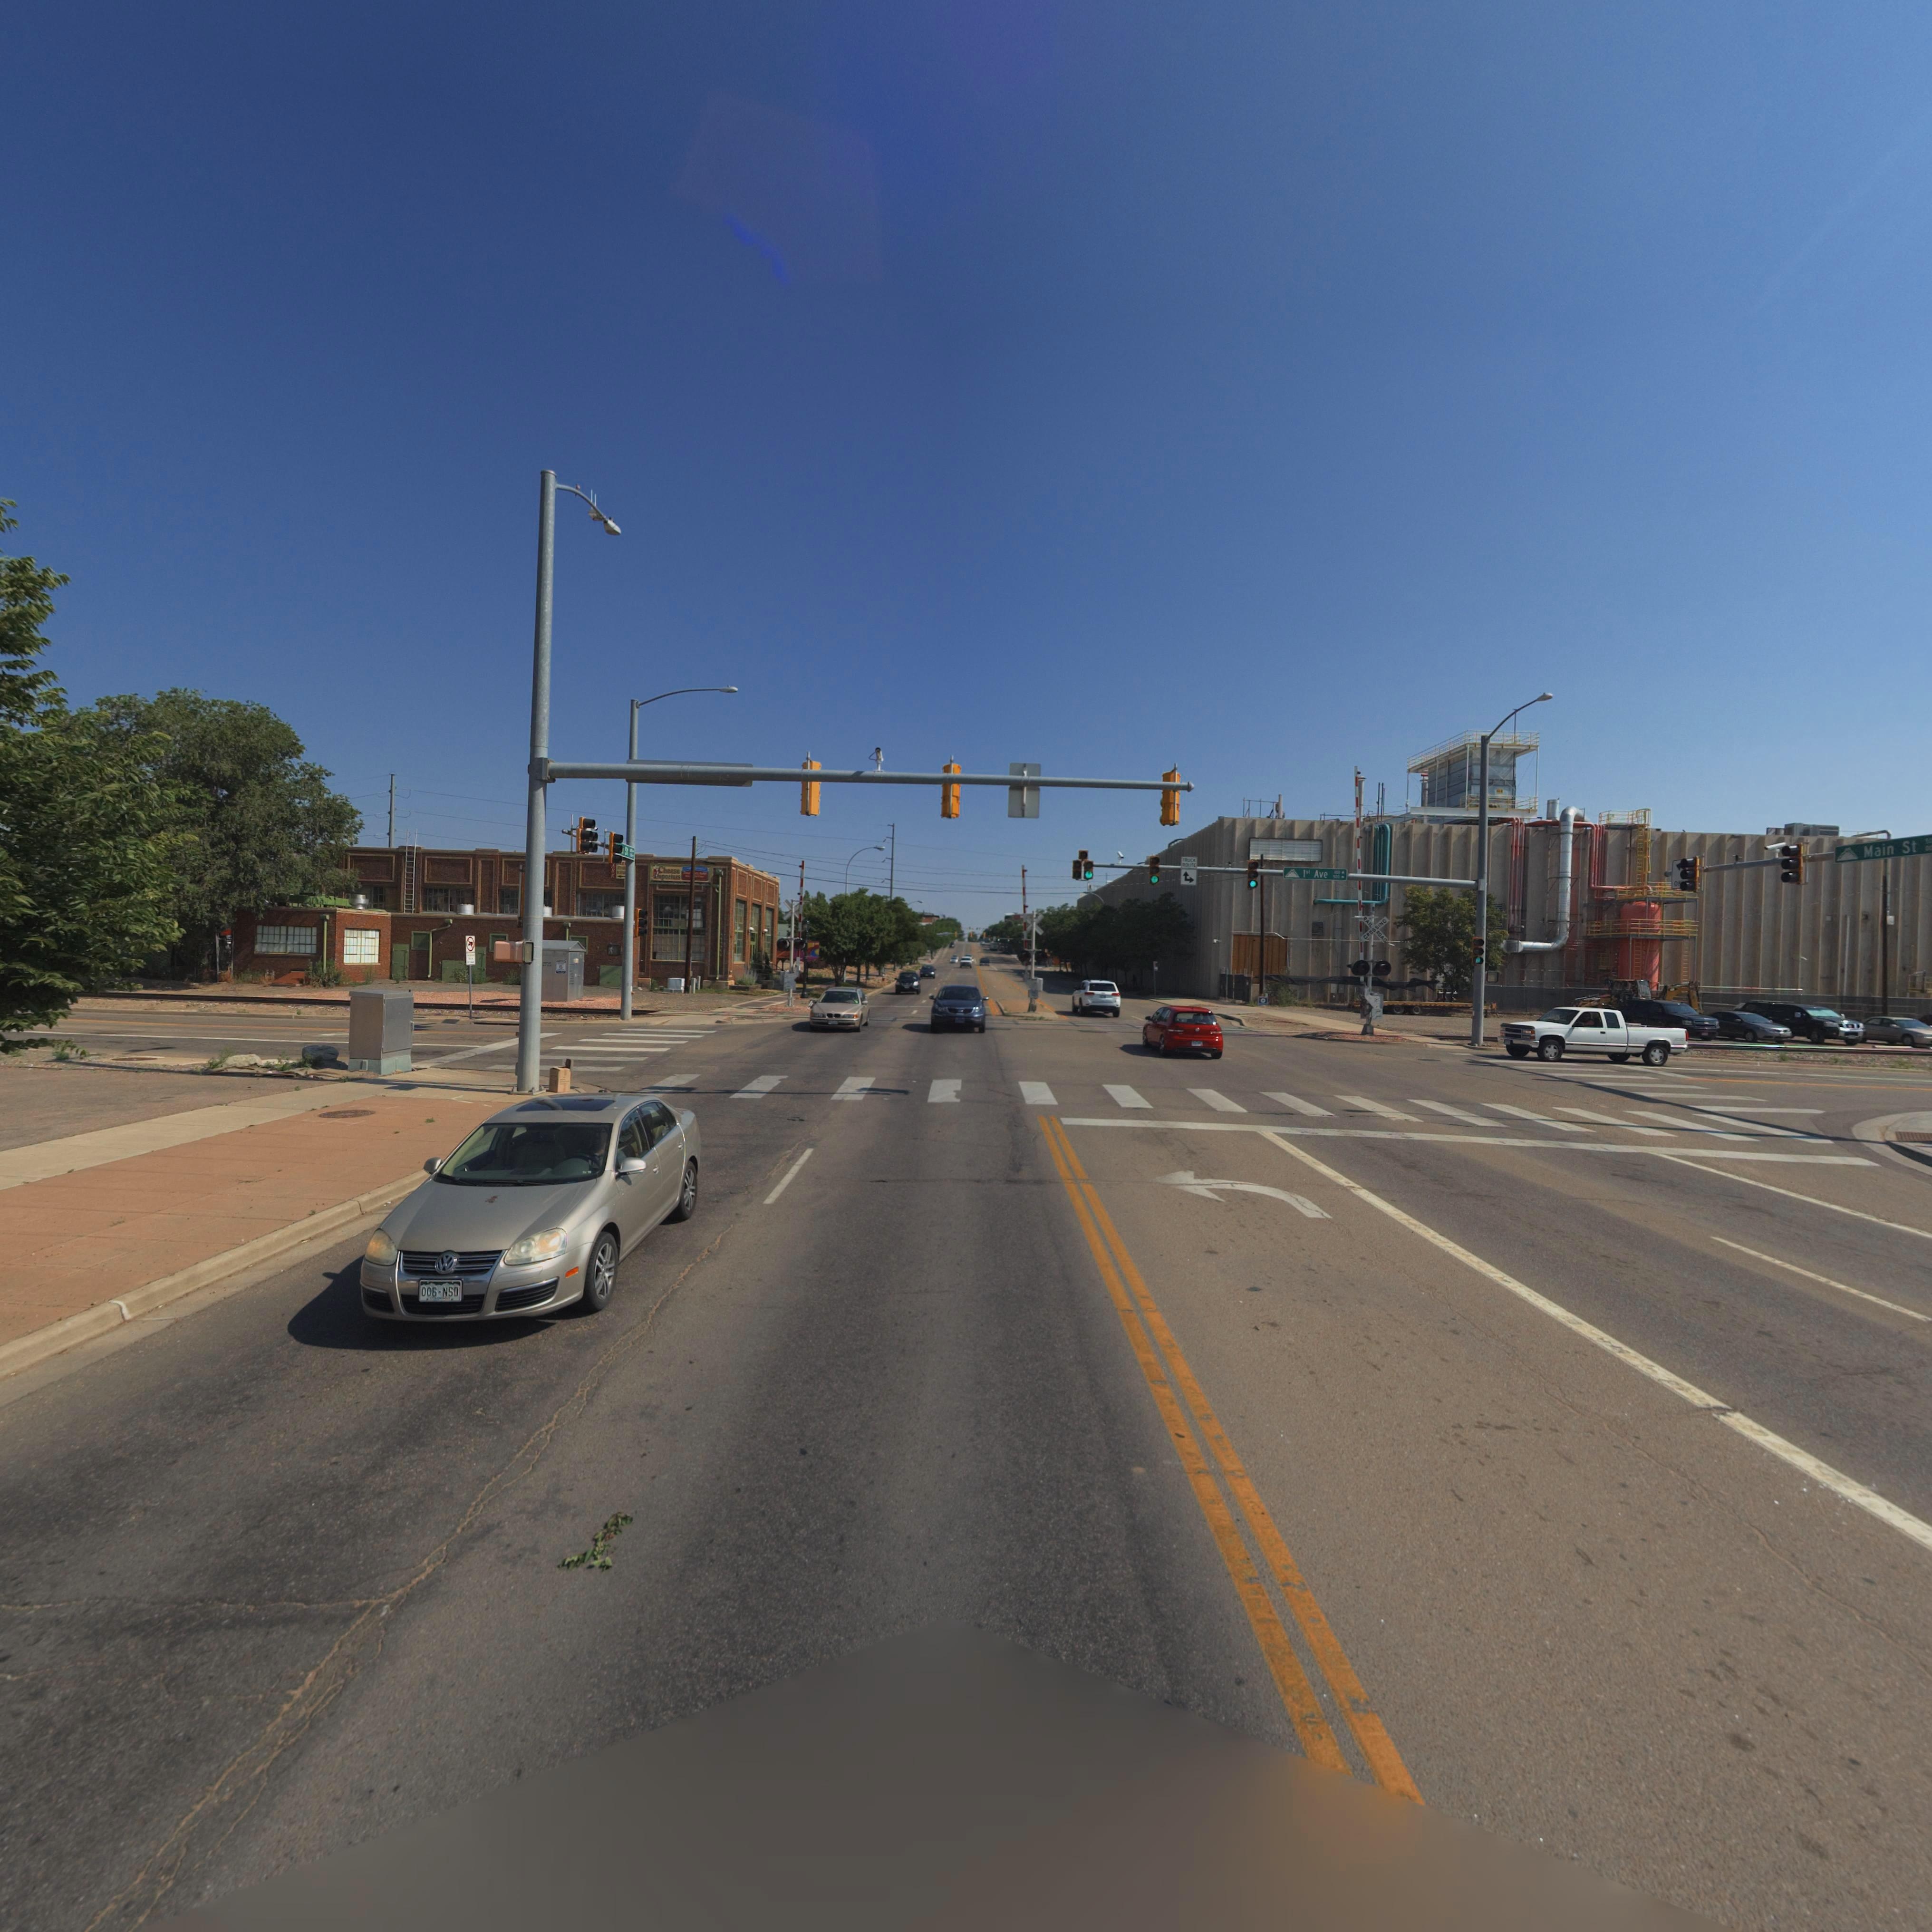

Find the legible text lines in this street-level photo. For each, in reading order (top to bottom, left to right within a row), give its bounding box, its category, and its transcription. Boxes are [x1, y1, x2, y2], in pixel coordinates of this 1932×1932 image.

[624, 846, 628, 856] StreetName: St
[1864, 840, 1917, 858] StreetName: Main St
[654, 871, 681, 881] BusinessName: ***or****
[657, 865, 680, 874] BusinessName: Cheese
[1303, 869, 1328, 878] StreetName: 1st Ave